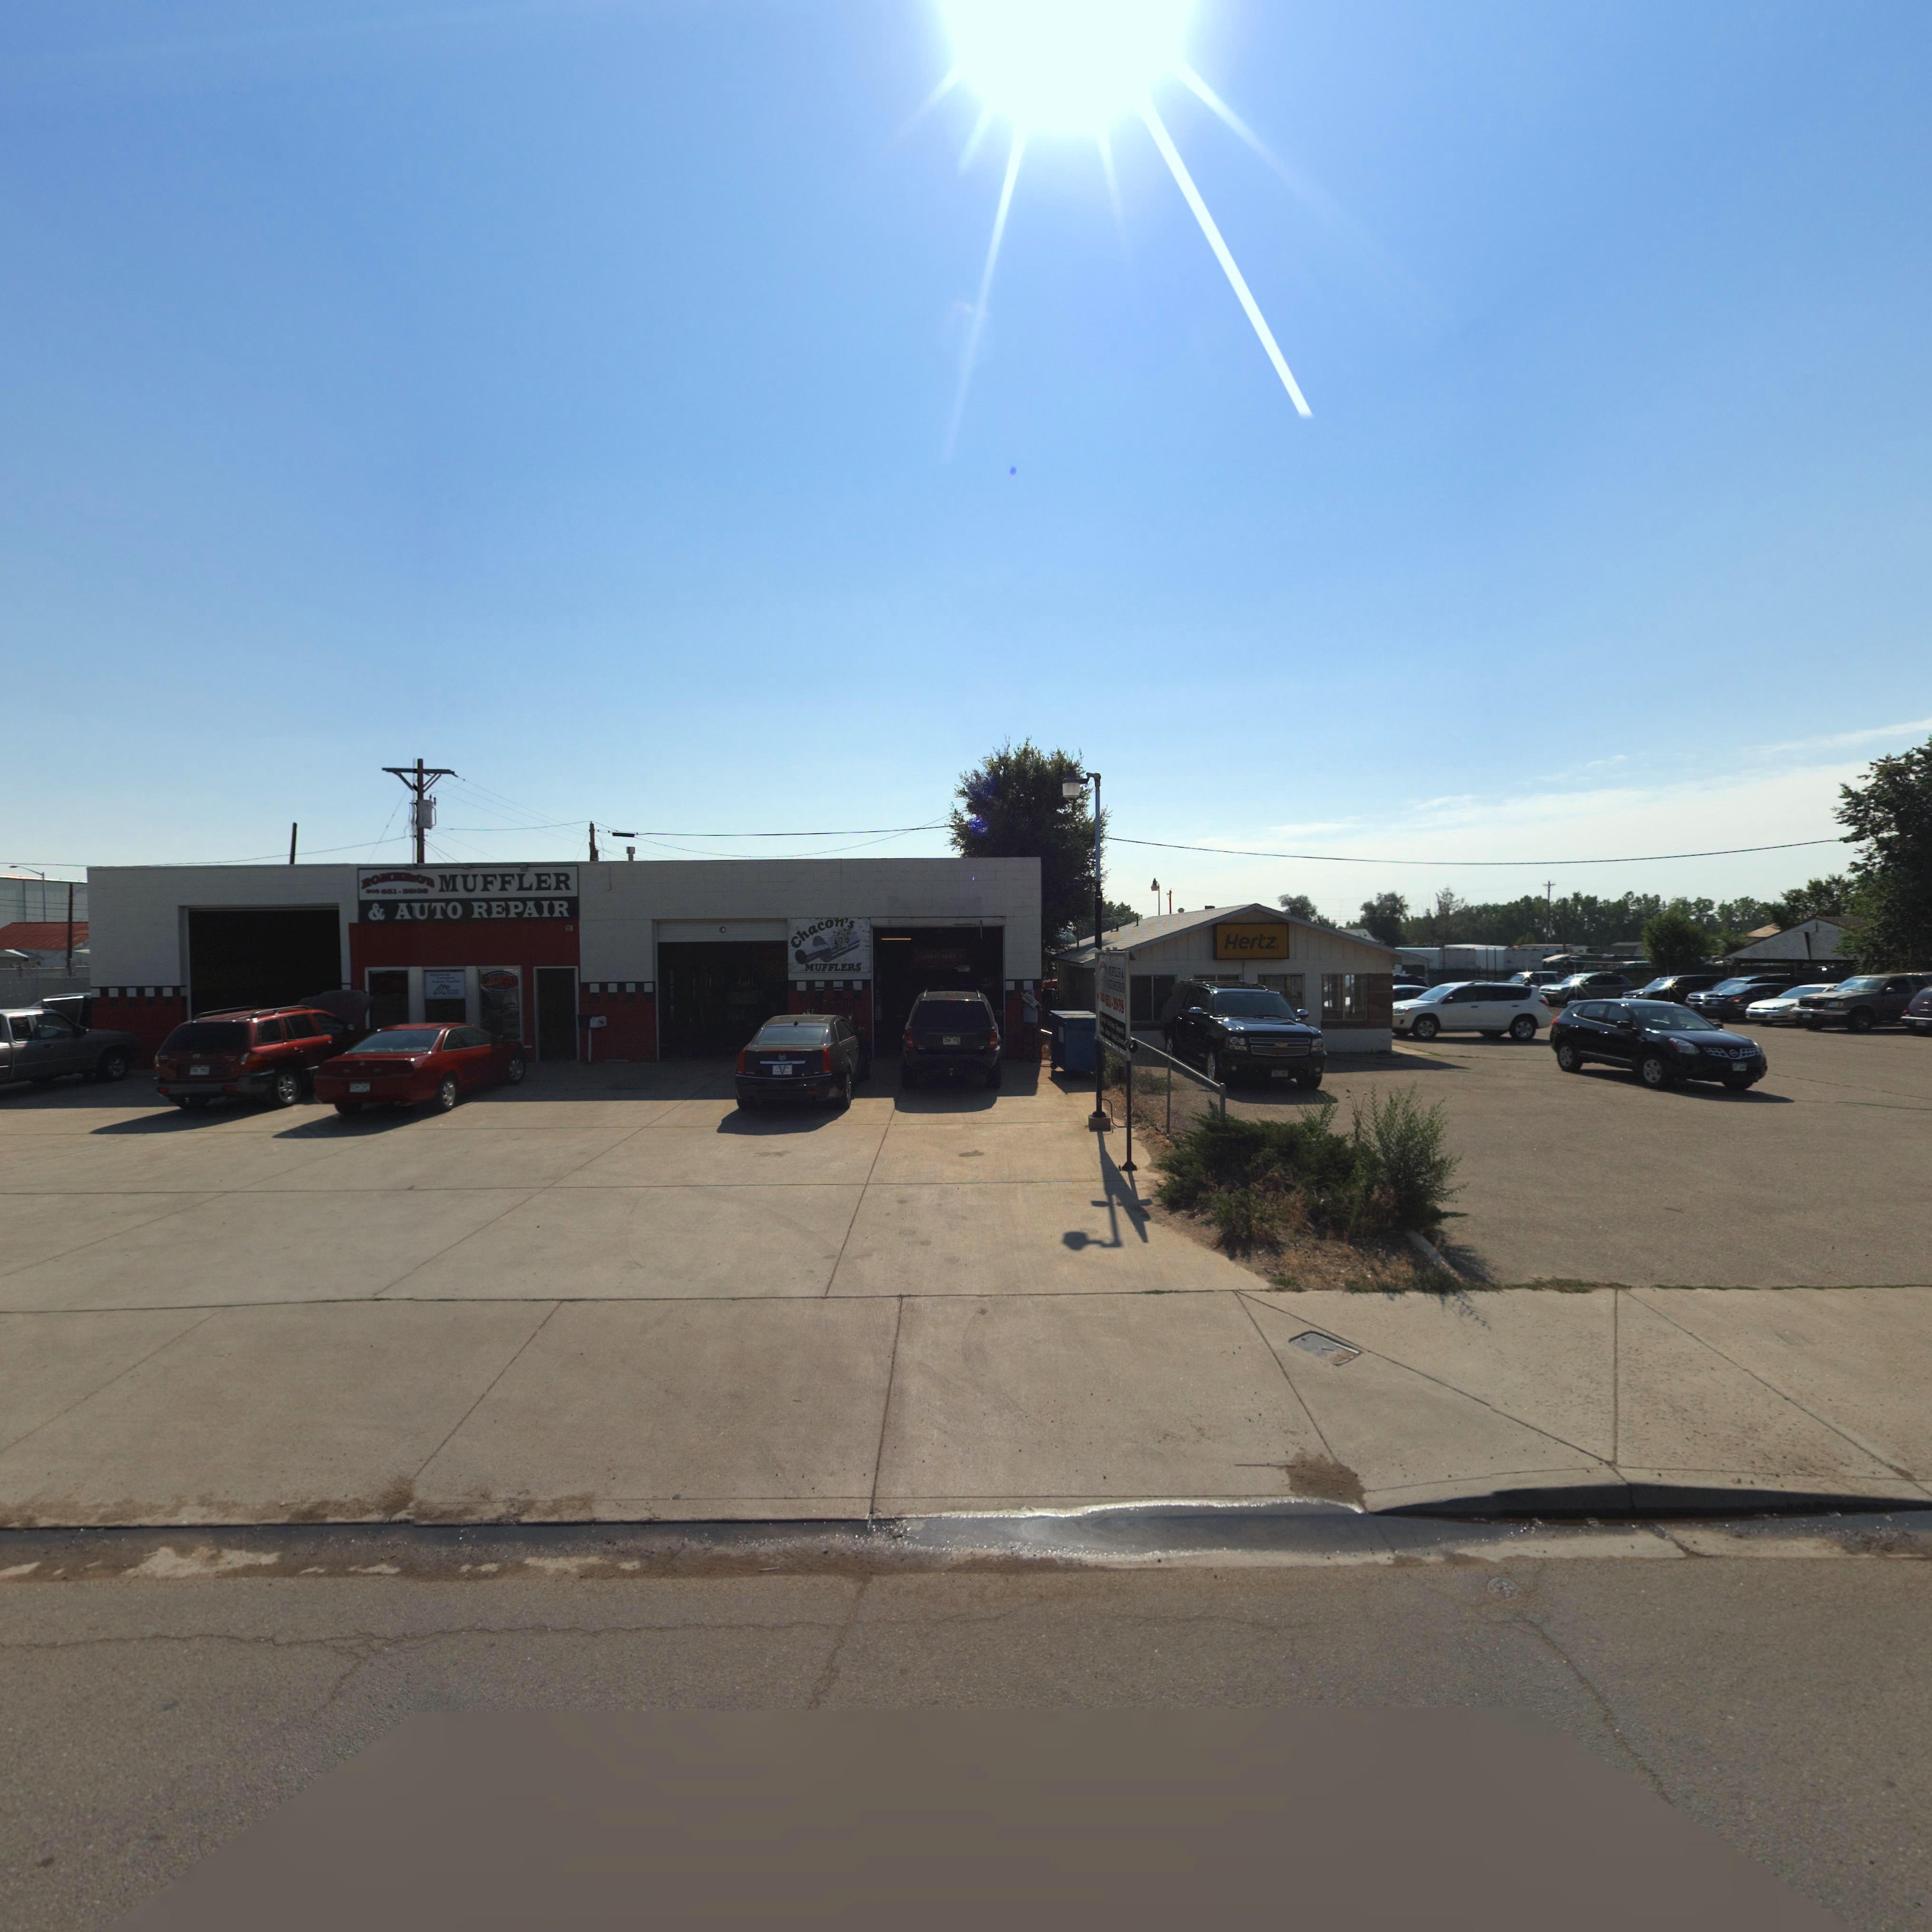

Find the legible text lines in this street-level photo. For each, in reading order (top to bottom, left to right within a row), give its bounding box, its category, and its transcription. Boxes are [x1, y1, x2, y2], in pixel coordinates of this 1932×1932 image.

[361, 872, 435, 889] BusinessName: ROMERO'S
[437, 872, 571, 892] BusinessName: MUFFLER
[367, 900, 570, 921] BusinessName: & AUTO REPAIR
[1224, 934, 1277, 949] BusinessName: Hertz
[1108, 966, 1123, 978] BusinessName: M****ER
[1107, 979, 1126, 994] BusinessName: **** RE****